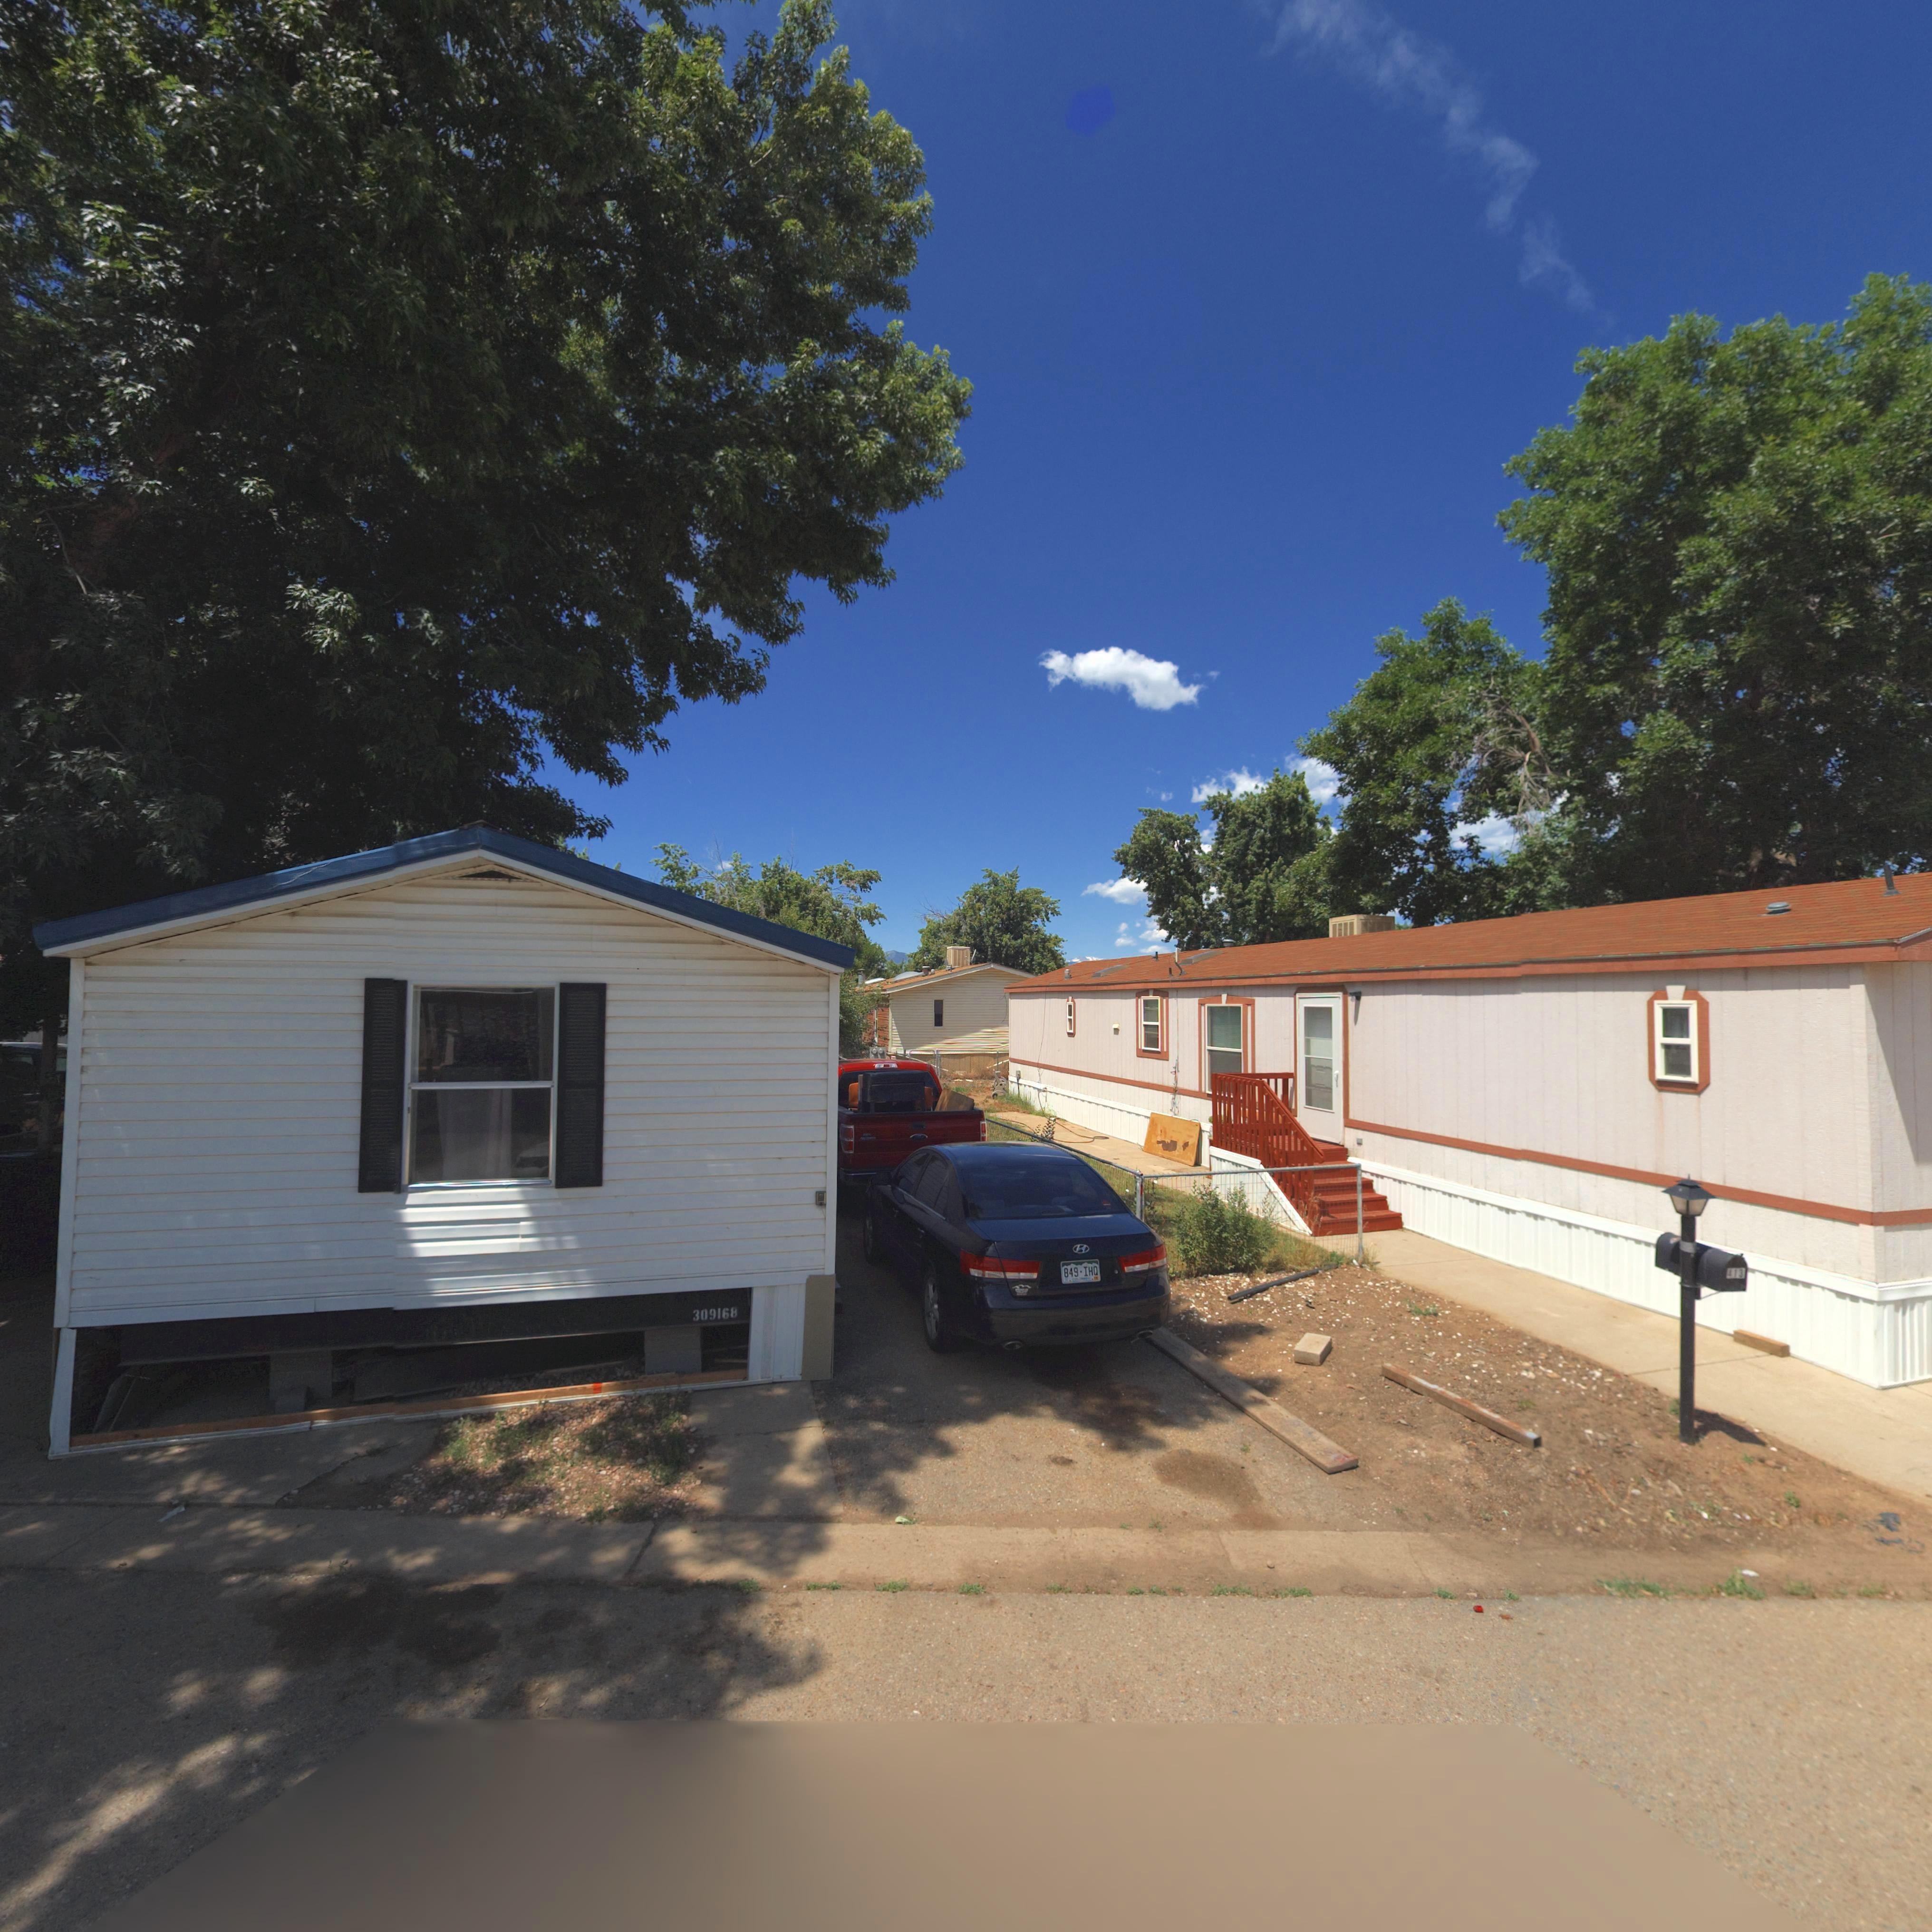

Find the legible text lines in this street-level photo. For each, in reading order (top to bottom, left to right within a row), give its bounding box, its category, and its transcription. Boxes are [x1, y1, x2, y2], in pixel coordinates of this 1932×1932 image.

[1727, 1268, 1743, 1278] StreetNumber: 413